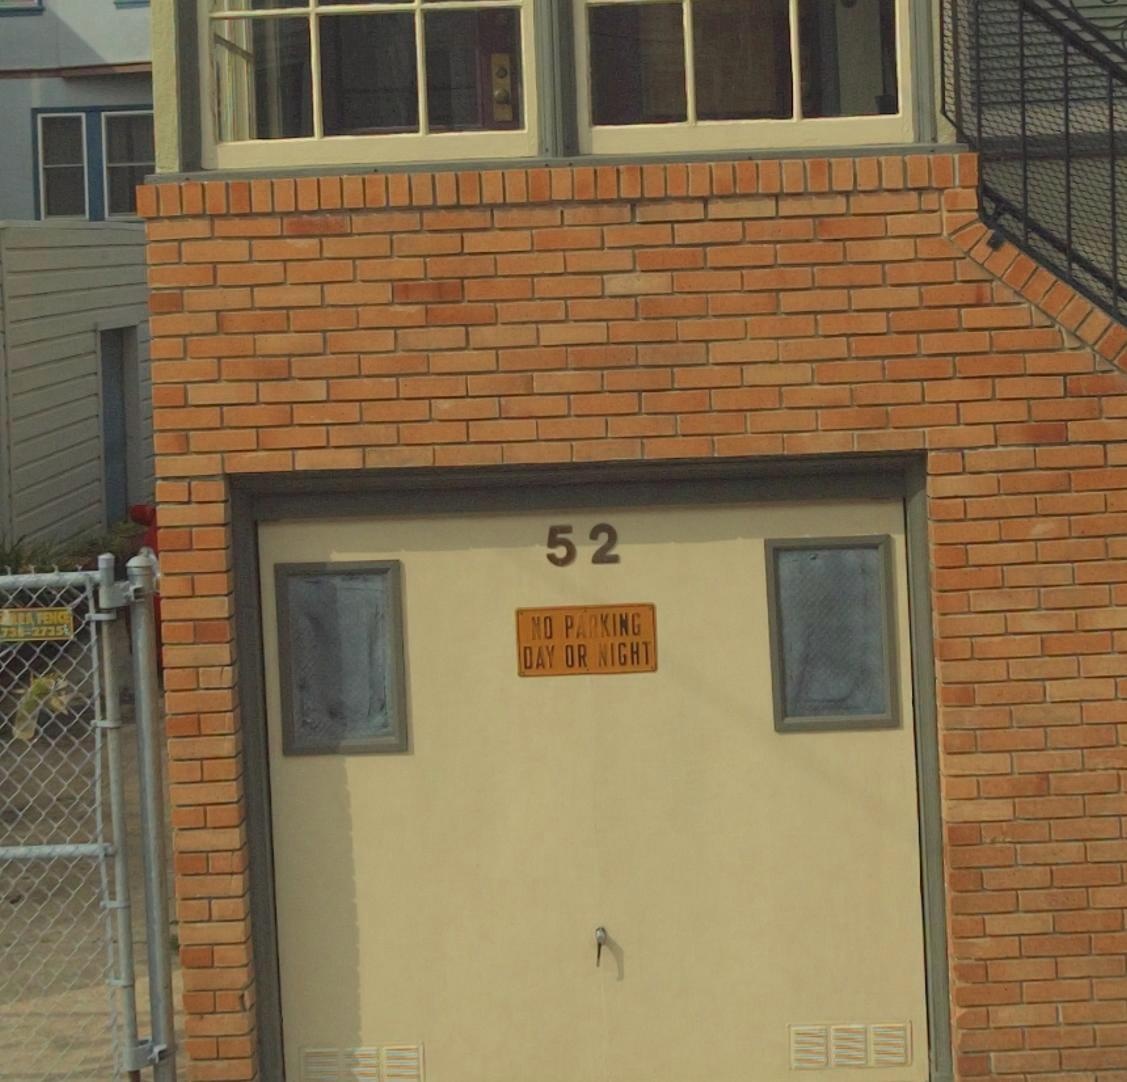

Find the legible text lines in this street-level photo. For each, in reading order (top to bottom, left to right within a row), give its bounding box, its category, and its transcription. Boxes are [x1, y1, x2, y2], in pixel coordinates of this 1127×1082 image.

[545, 520, 622, 568] StreetNumber: 52
[0, 625, 64, 639] None: 73*-2735
[36, 610, 71, 626] None: FENCE
[530, 611, 643, 643] None: NO PARKING
[522, 639, 653, 671] None: DAY OR NIGHT